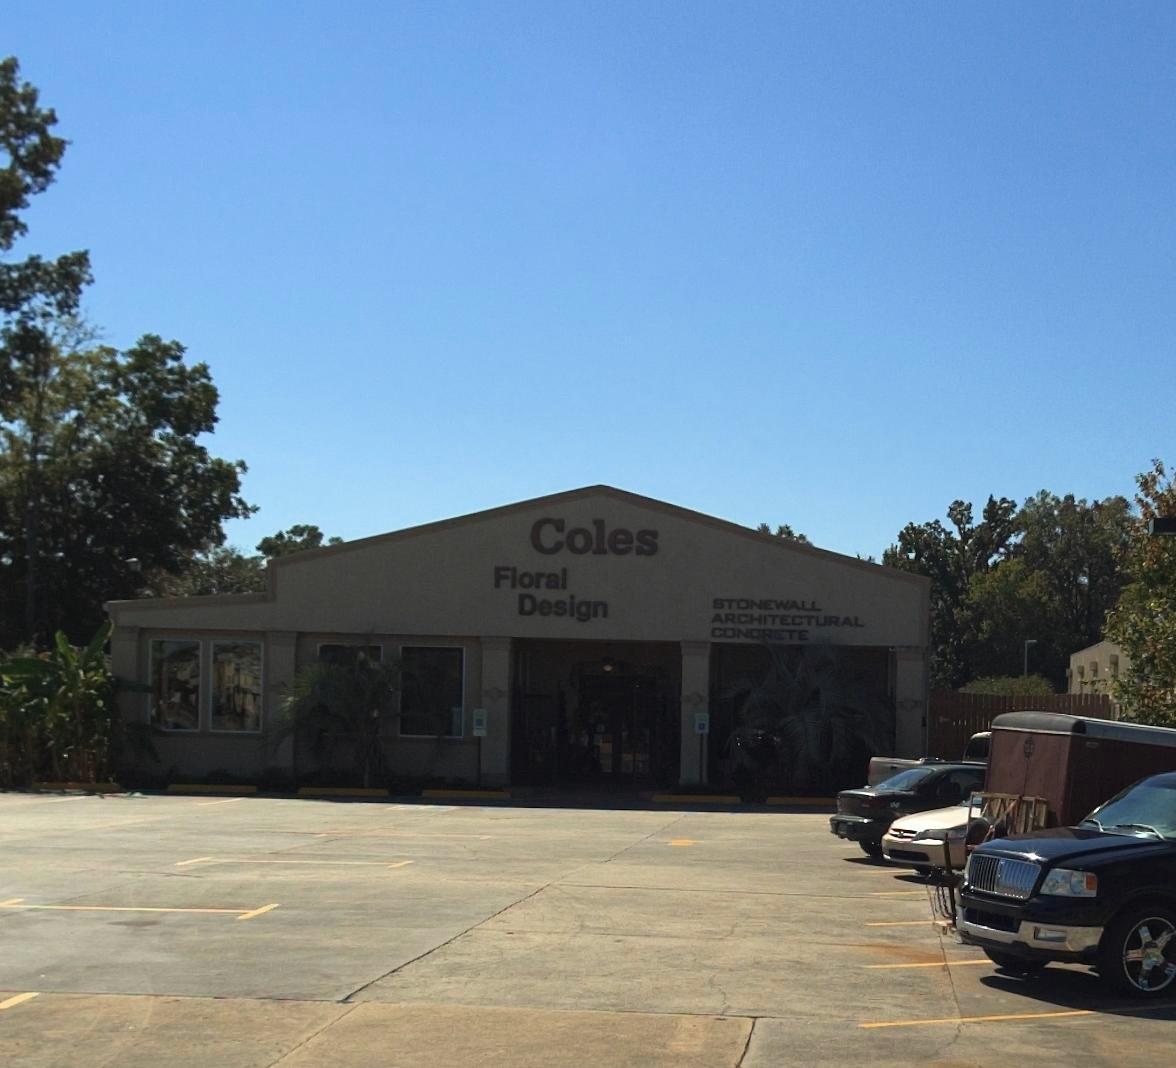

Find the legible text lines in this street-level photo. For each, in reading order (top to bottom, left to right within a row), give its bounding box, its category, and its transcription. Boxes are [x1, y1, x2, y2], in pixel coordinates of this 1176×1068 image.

[526, 514, 662, 560] BusinessName: Coles
[491, 563, 570, 592] None: Floral
[516, 590, 611, 625] None: Design
[708, 625, 812, 643] None: CONCRETE
[711, 595, 824, 613] None: STONEWALL
[706, 609, 867, 630] None: ARCHITECTURAL